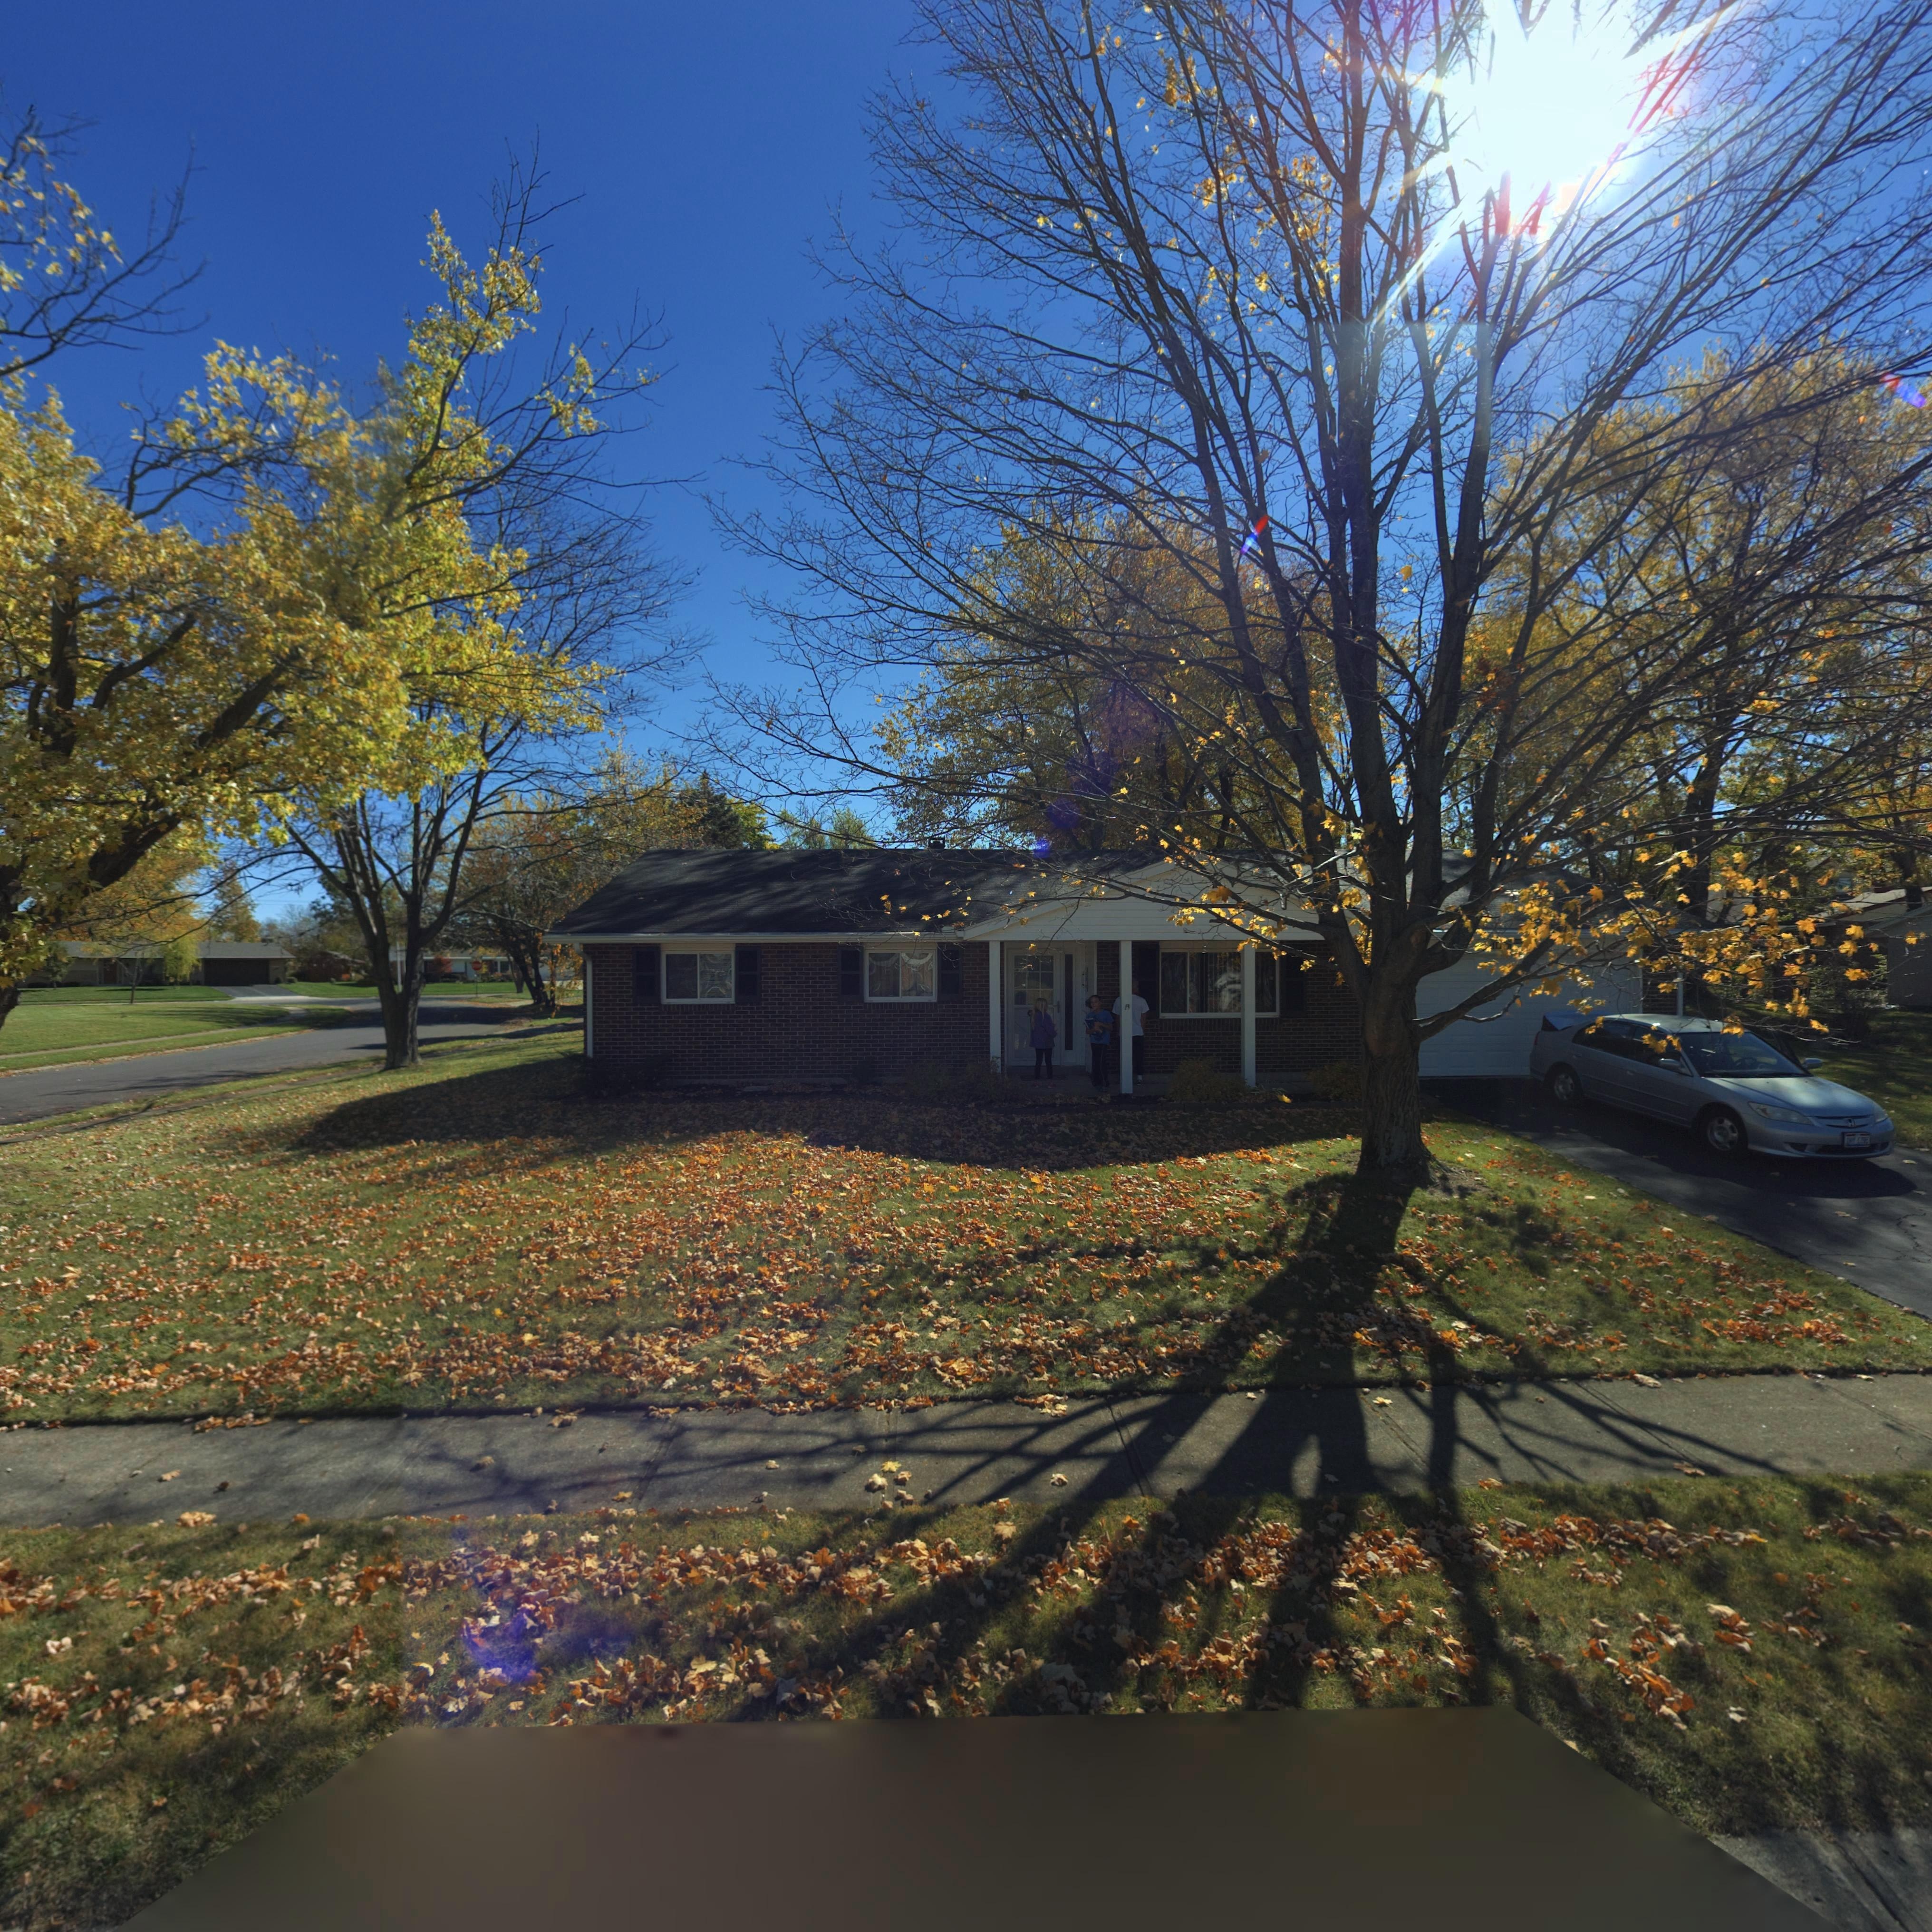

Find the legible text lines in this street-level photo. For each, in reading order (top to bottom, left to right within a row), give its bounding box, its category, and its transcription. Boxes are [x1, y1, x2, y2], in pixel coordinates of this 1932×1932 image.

[1491, 941, 1502, 949] StreetNumber: 10